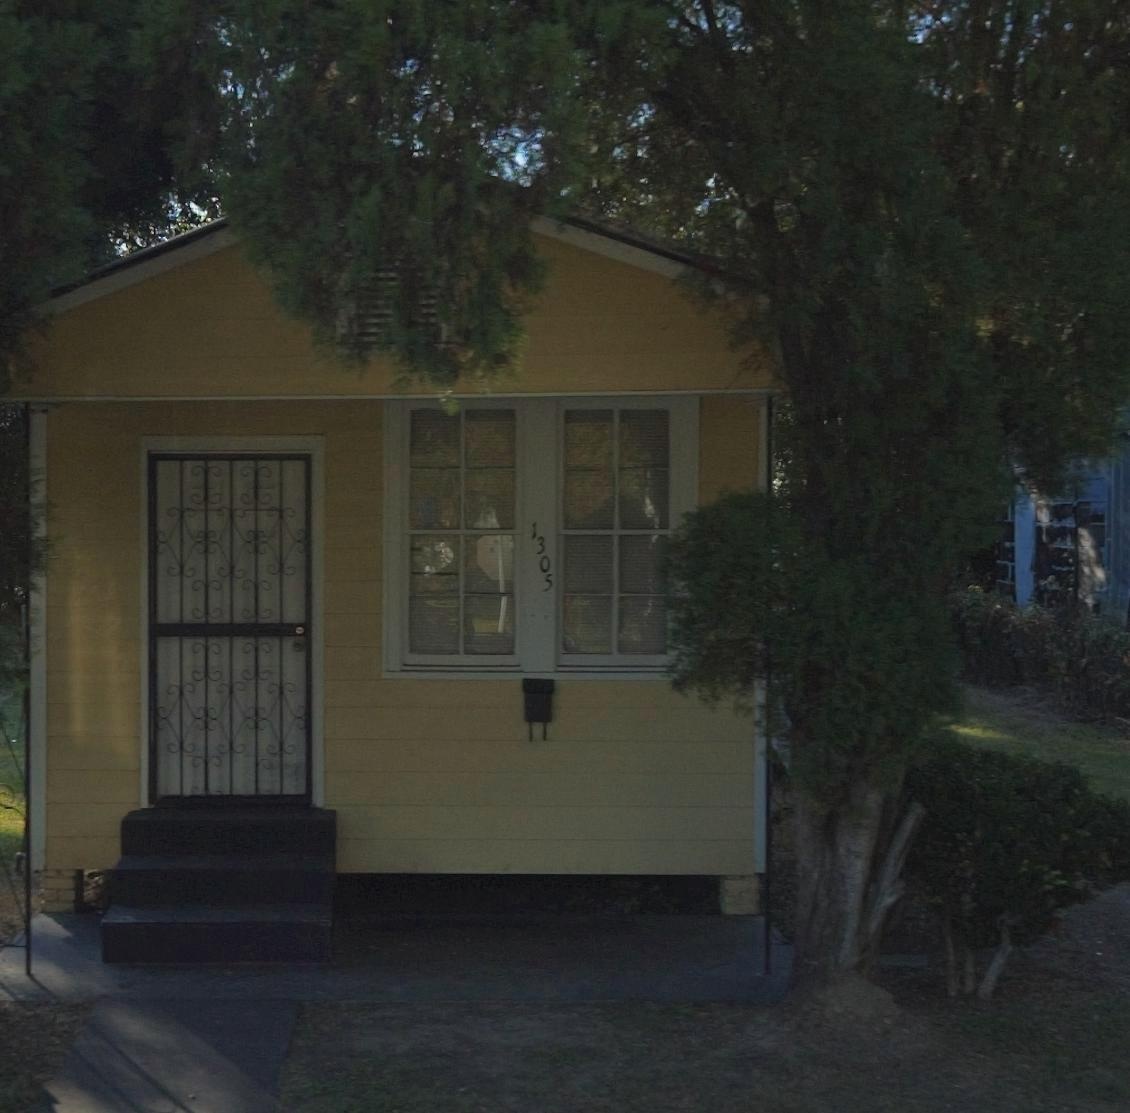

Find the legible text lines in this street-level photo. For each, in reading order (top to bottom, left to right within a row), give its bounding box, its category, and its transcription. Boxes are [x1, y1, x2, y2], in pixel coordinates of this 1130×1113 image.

[525, 517, 559, 595] StreetNumber: 1305